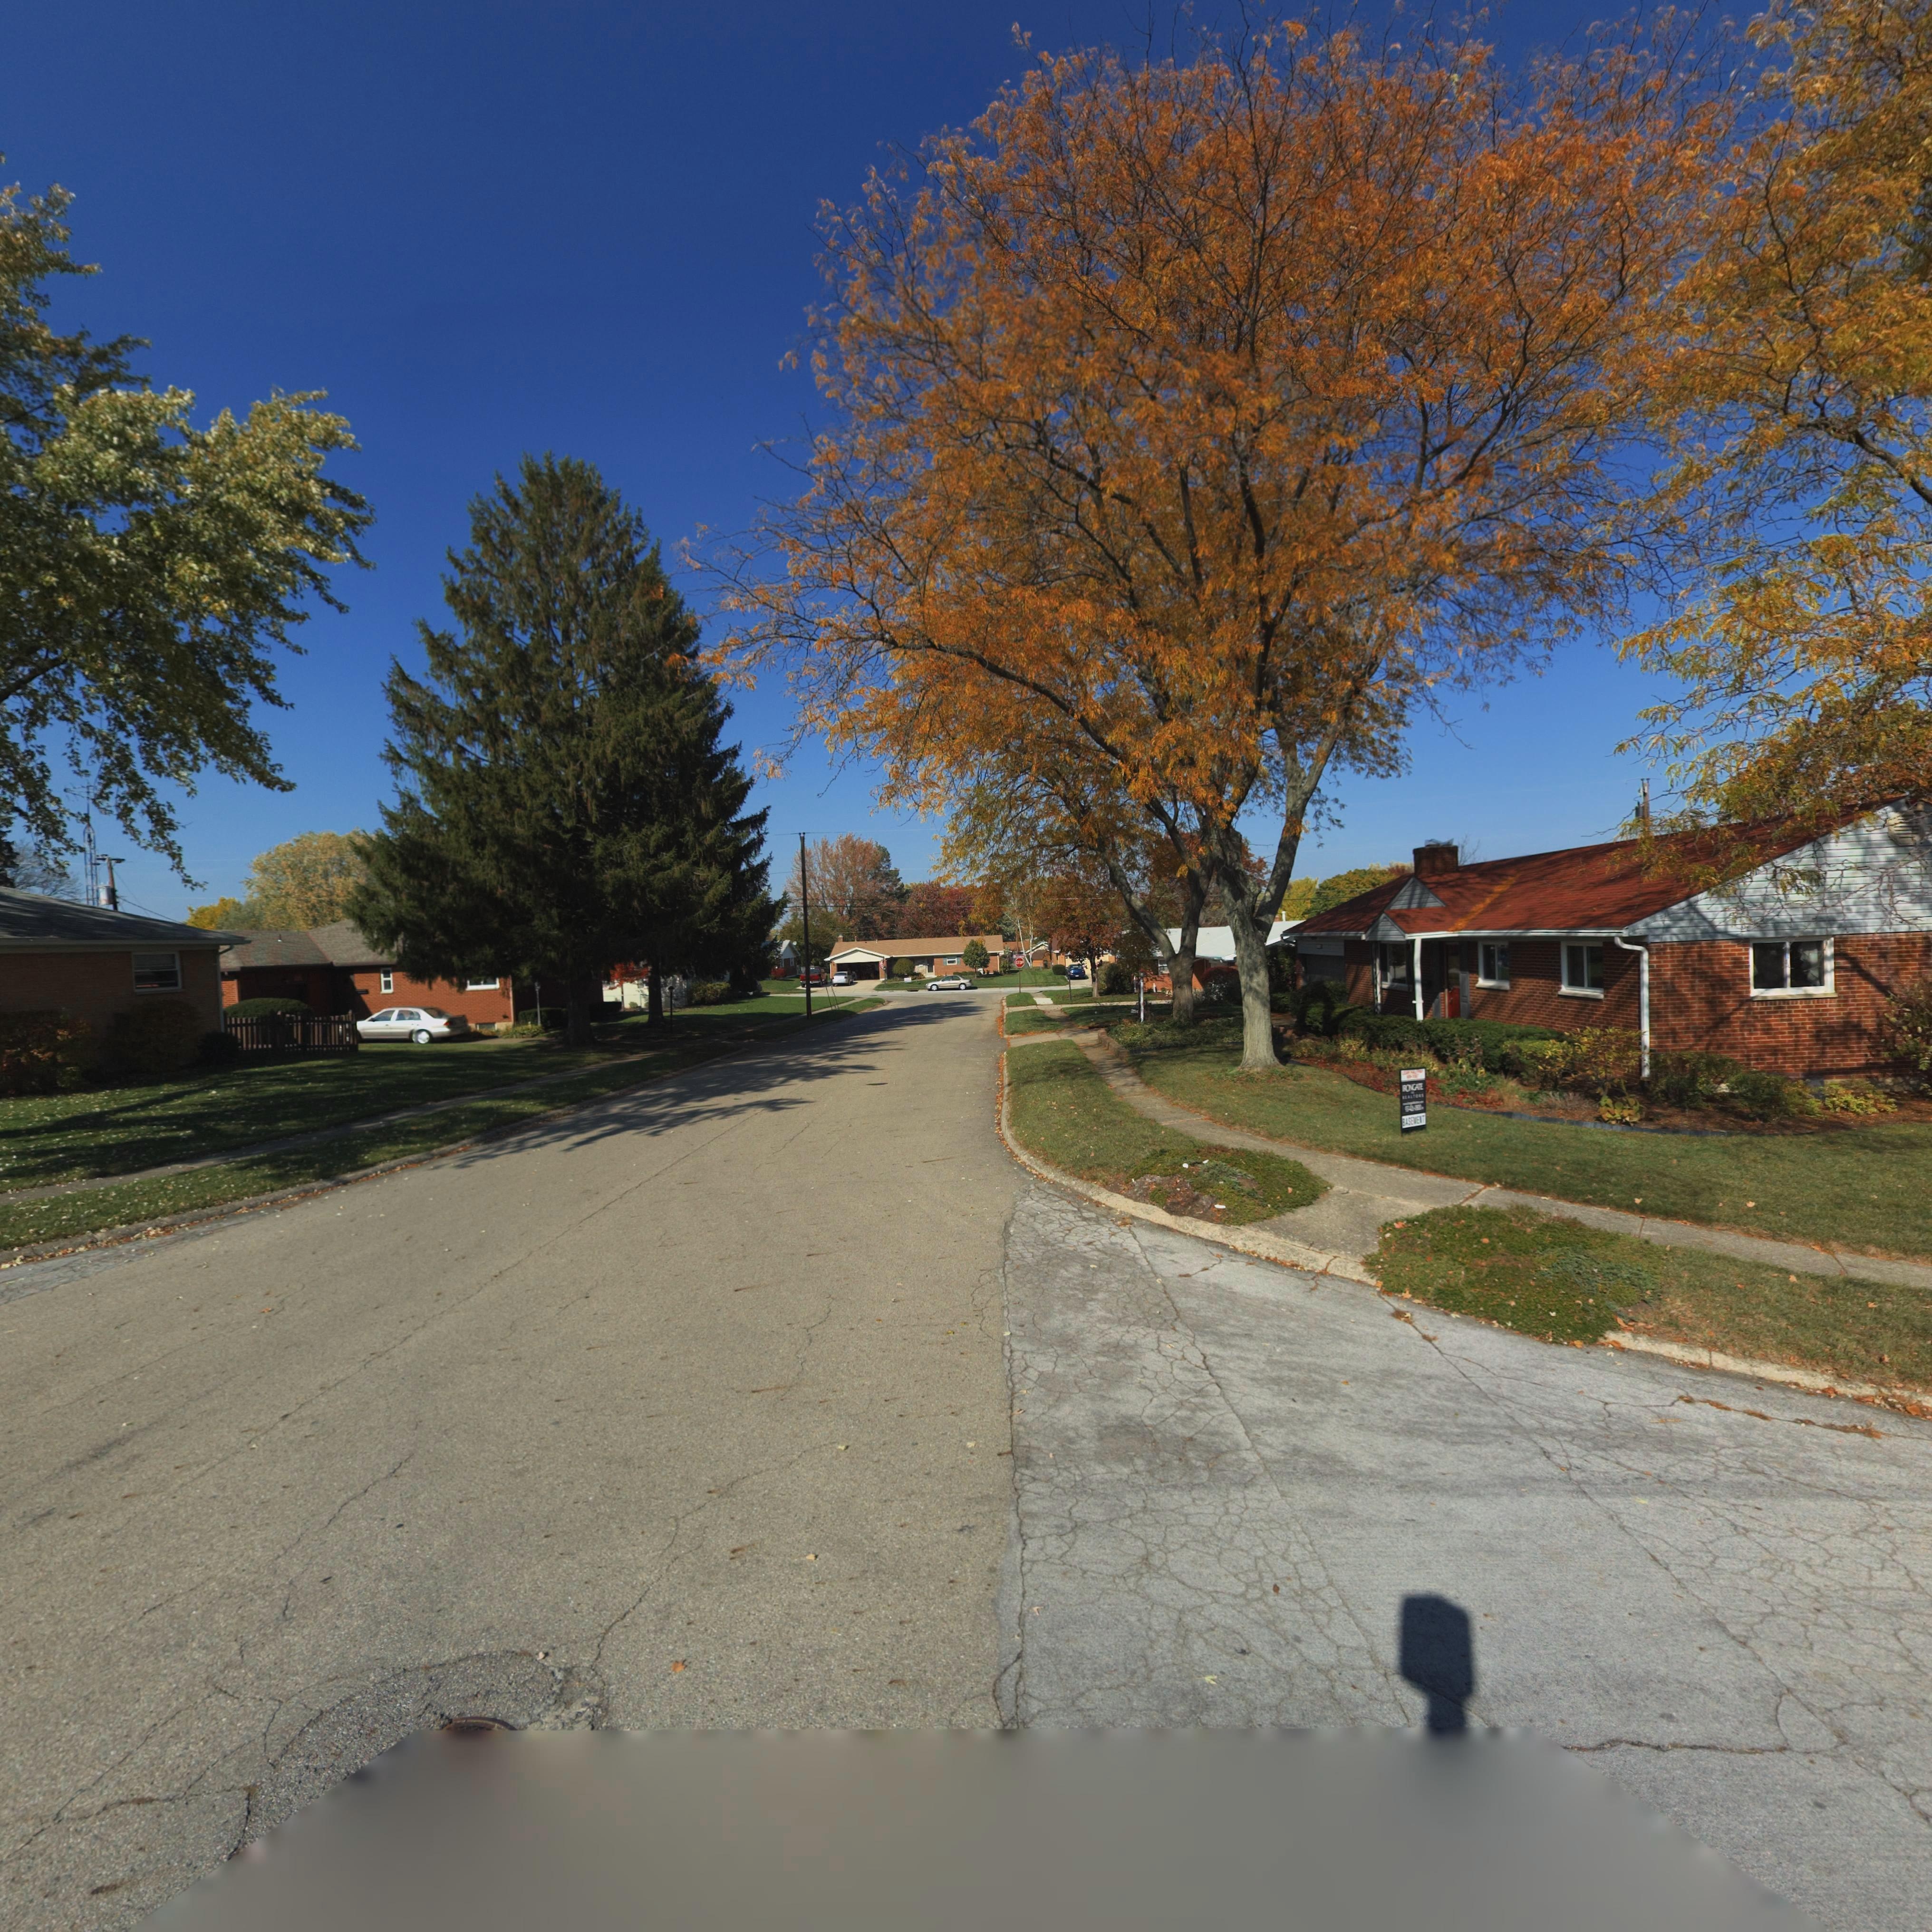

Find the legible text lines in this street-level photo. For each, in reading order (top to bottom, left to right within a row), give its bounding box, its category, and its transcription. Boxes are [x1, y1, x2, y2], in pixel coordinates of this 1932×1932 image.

[1015, 960, 1024, 965] None: STOP
[1401, 1082, 1424, 1093] None: ROGATE